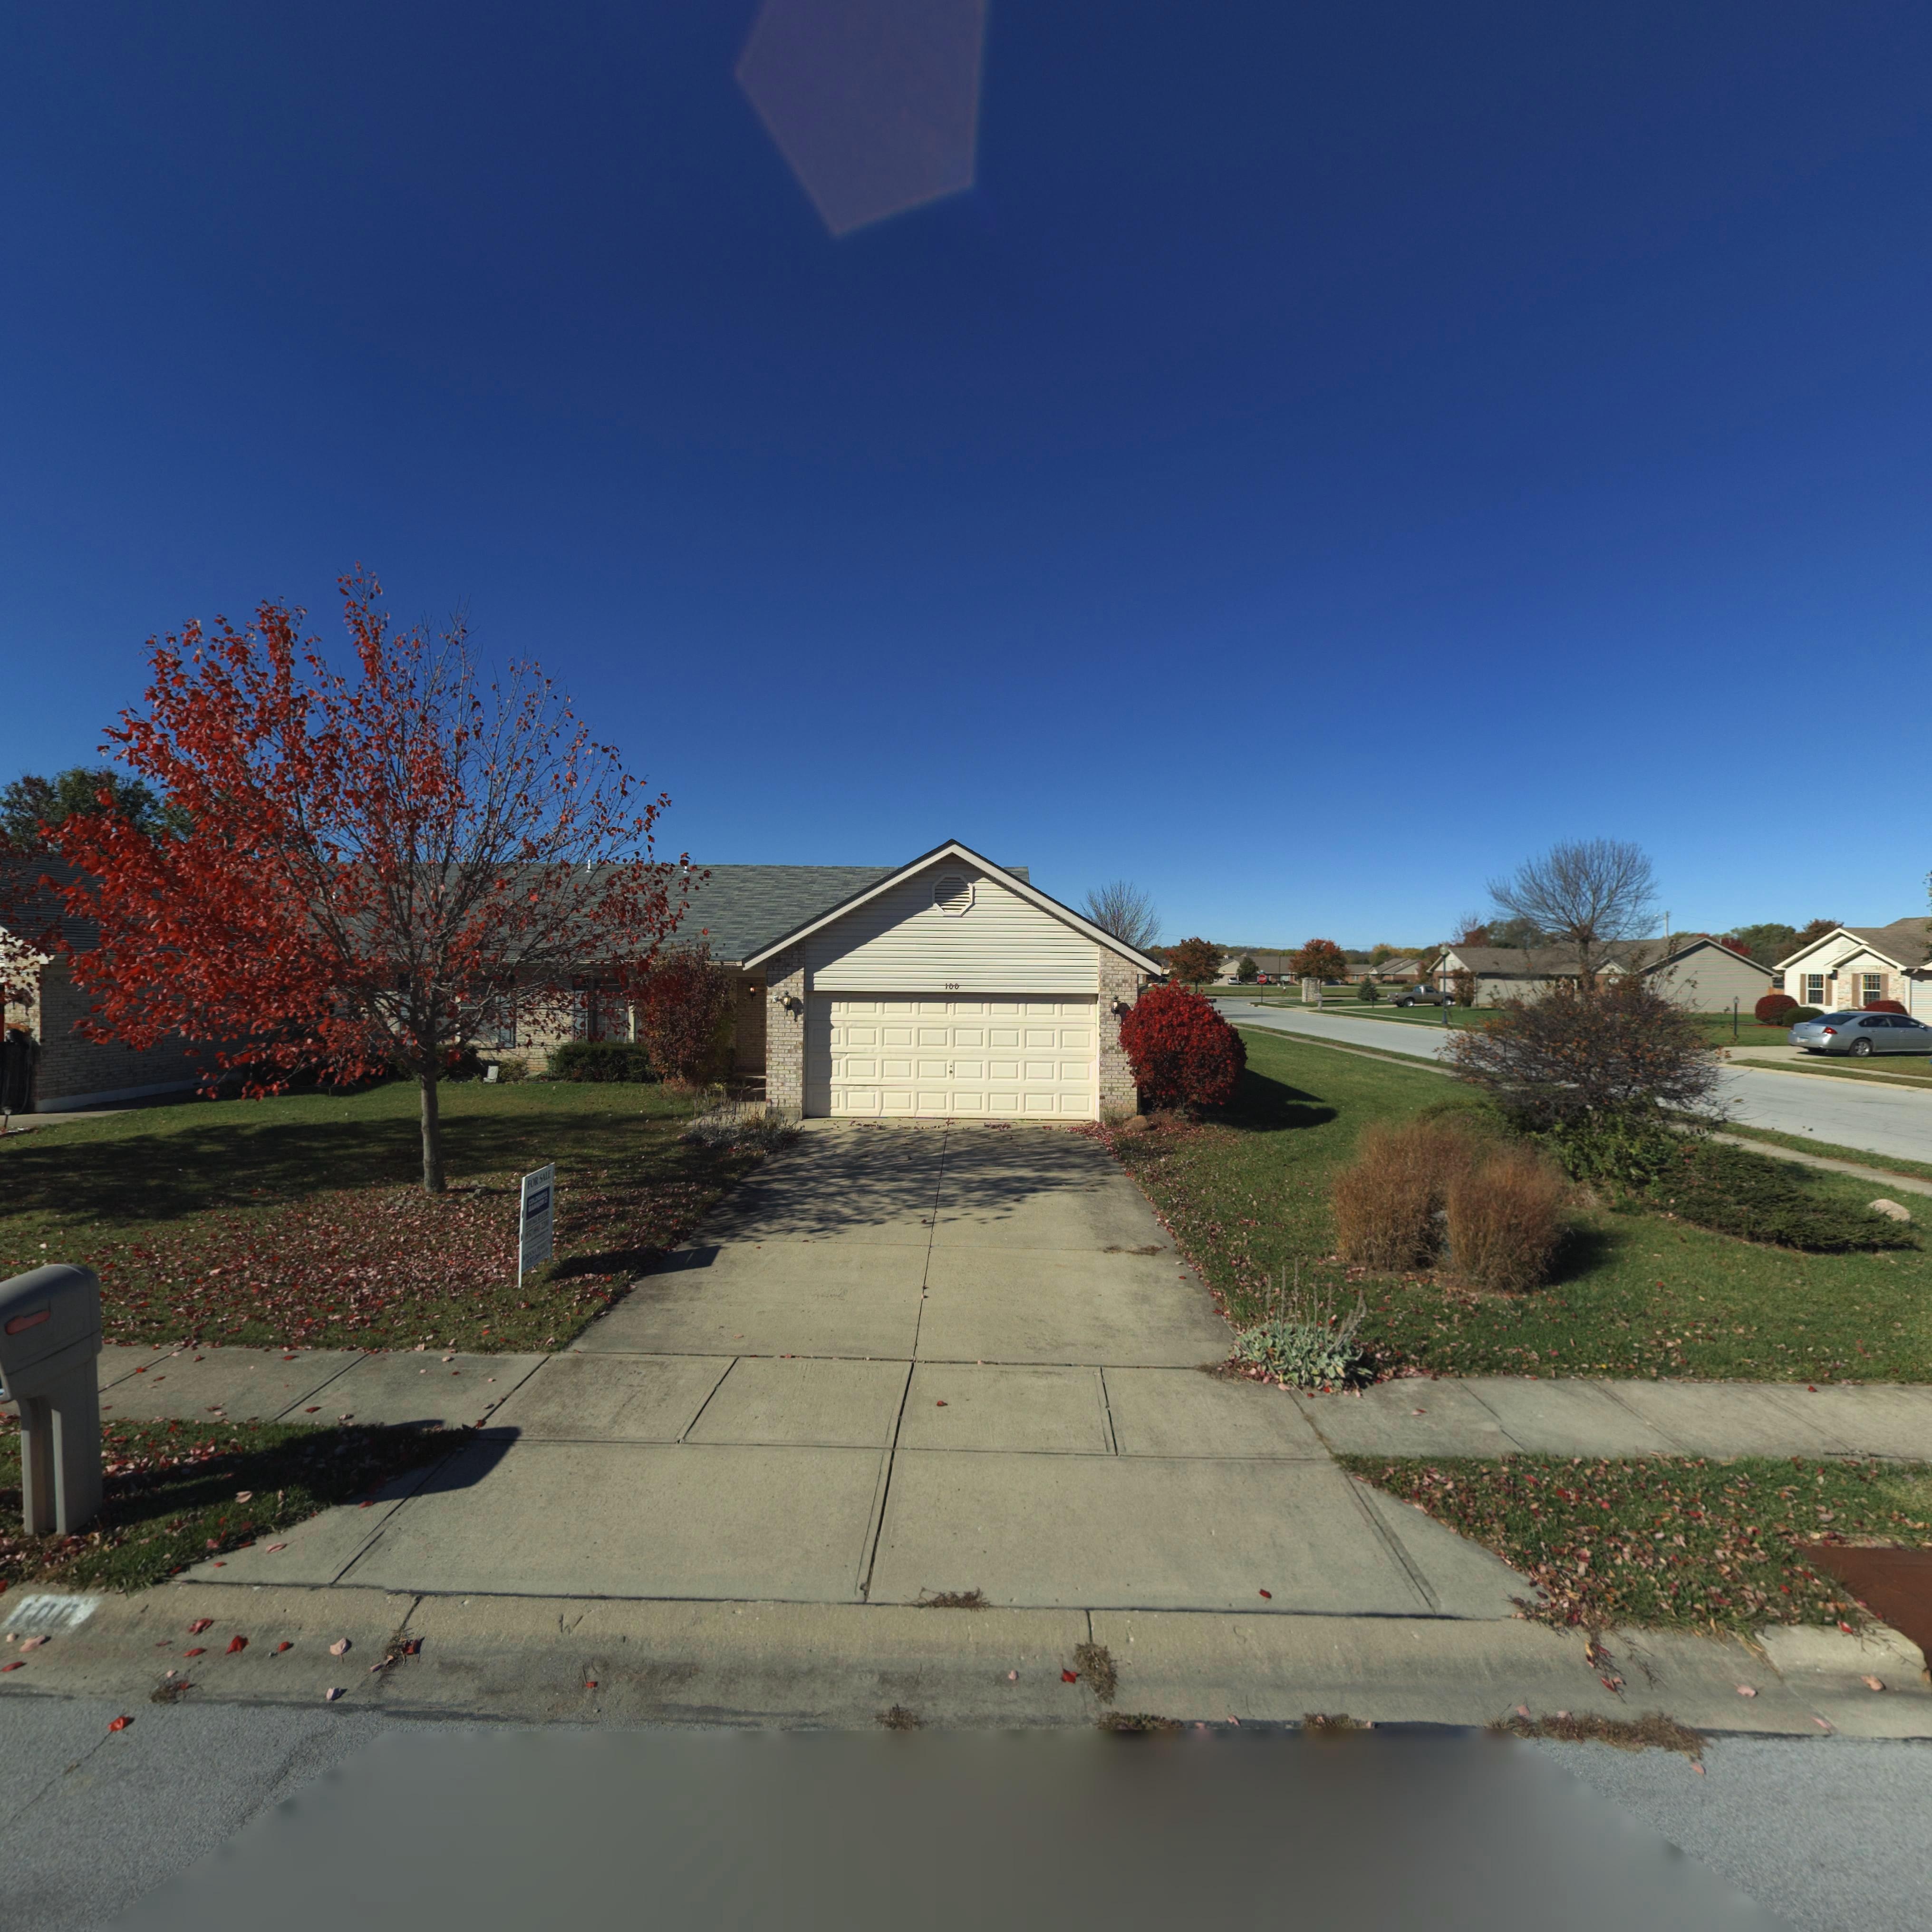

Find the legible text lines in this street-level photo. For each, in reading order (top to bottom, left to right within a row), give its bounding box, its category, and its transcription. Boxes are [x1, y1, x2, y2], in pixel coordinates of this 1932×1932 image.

[945, 983, 960, 990] StreetNumber: 100
[527, 1168, 551, 1190] None: FOR SALE
[4, 1600, 84, 1629] StreetNumber: 100